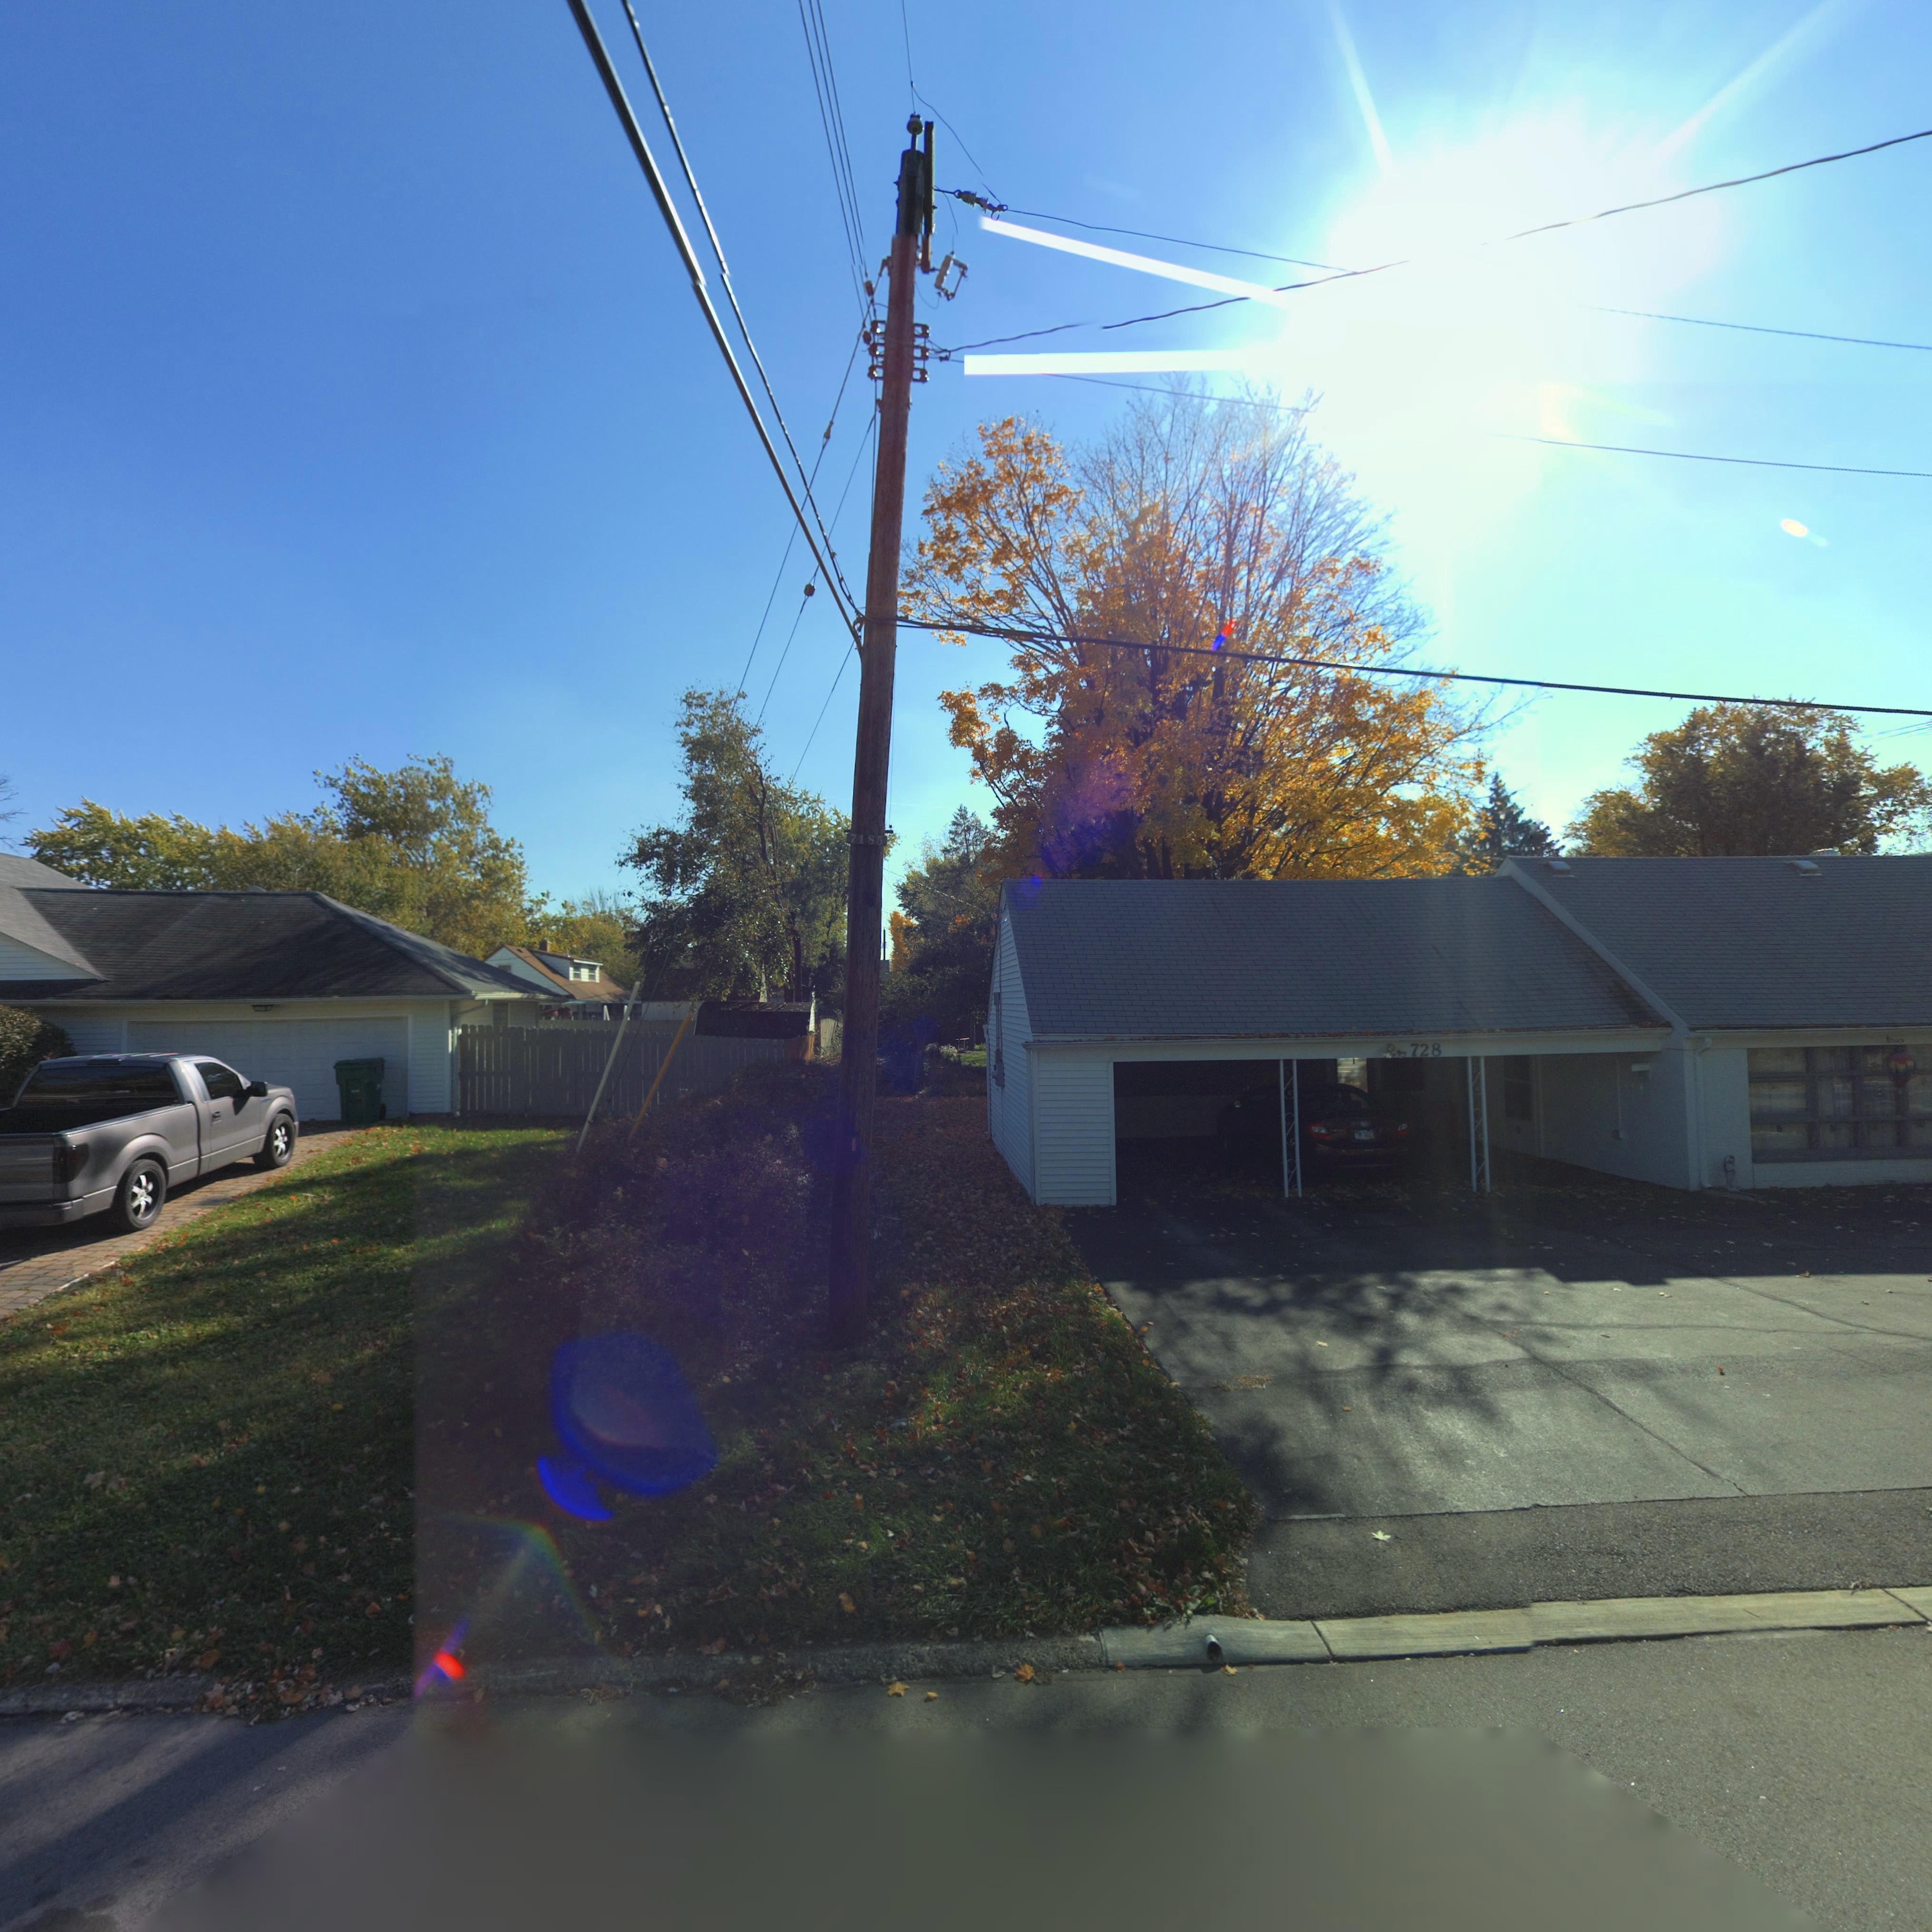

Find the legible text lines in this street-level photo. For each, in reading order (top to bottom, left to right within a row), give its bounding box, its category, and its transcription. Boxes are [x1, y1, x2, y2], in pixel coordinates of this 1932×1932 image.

[1409, 1042, 1443, 1058] StreetNumber: 728